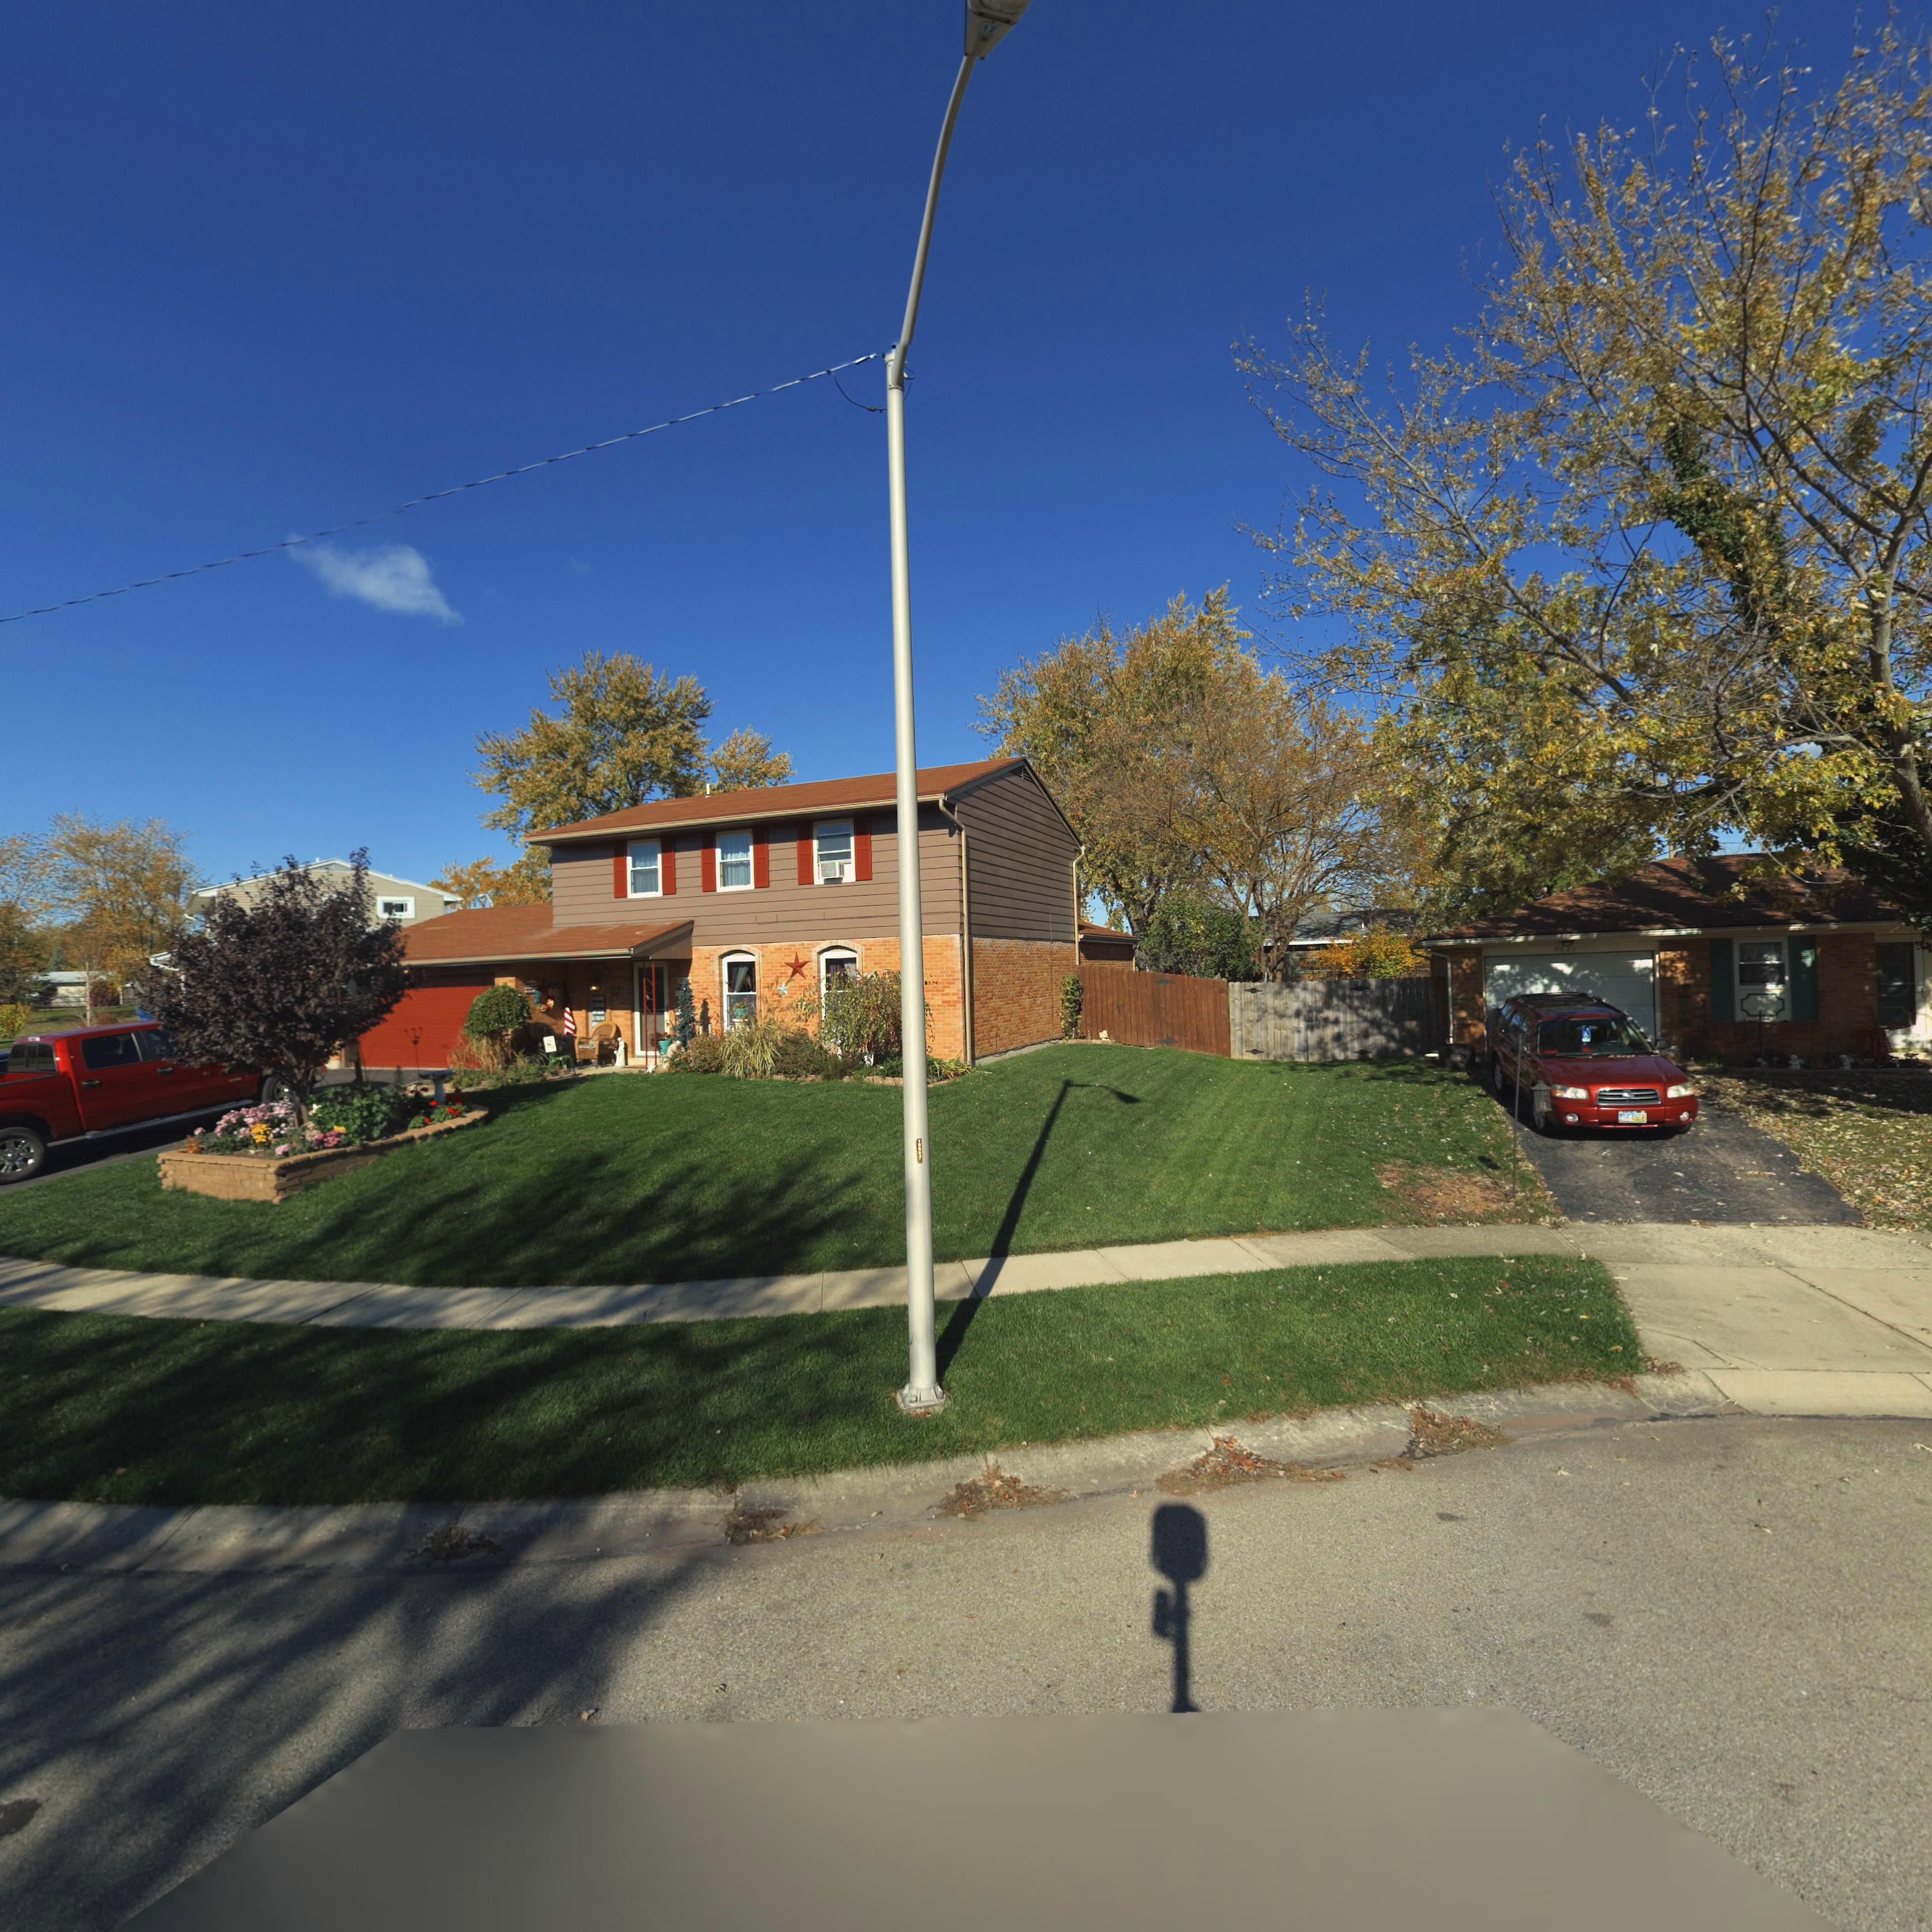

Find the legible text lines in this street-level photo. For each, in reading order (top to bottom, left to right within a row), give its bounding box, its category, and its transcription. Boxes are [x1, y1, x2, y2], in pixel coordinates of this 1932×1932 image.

[1554, 946, 1577, 953] StreetNumber: 7021